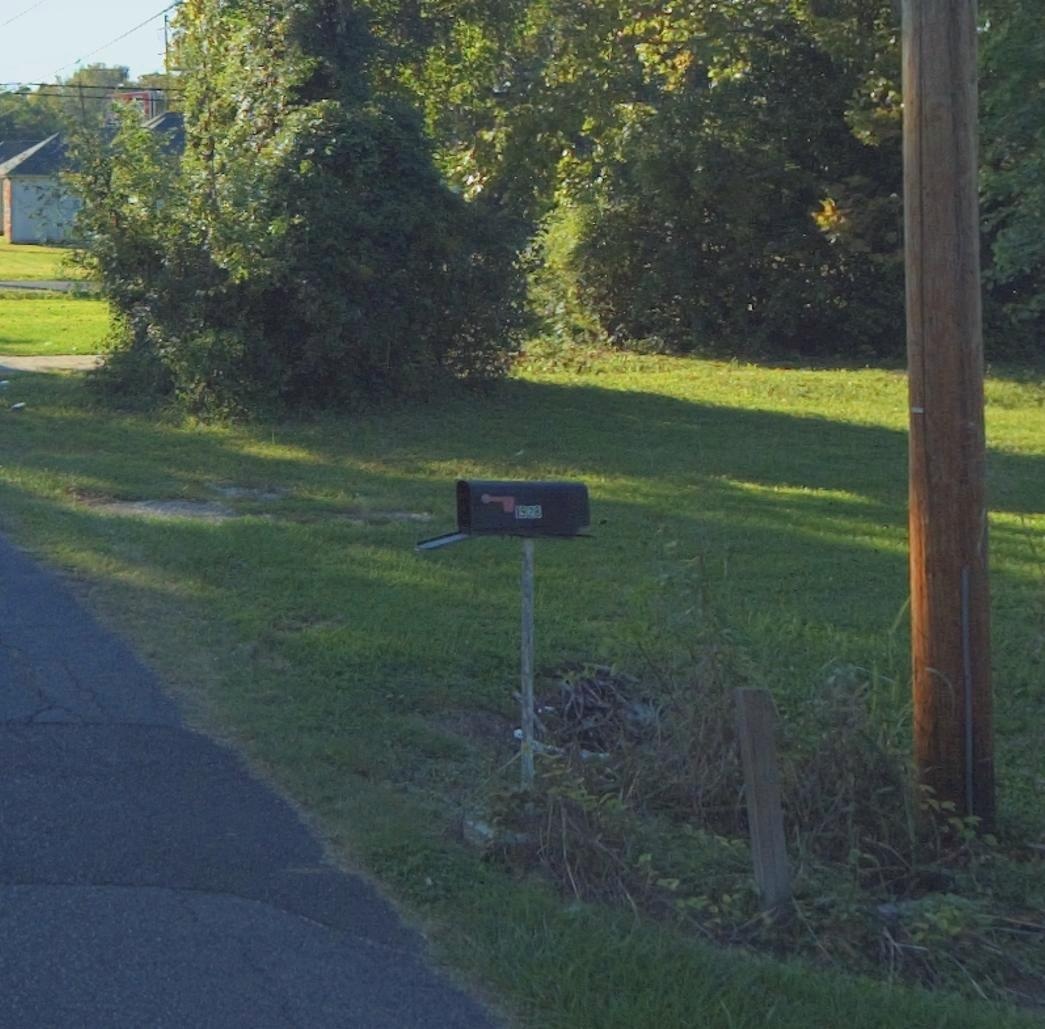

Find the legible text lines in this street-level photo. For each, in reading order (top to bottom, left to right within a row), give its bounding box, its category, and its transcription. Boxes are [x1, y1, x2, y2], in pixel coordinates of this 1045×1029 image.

[514, 505, 542, 519] StreetNumber: 1928